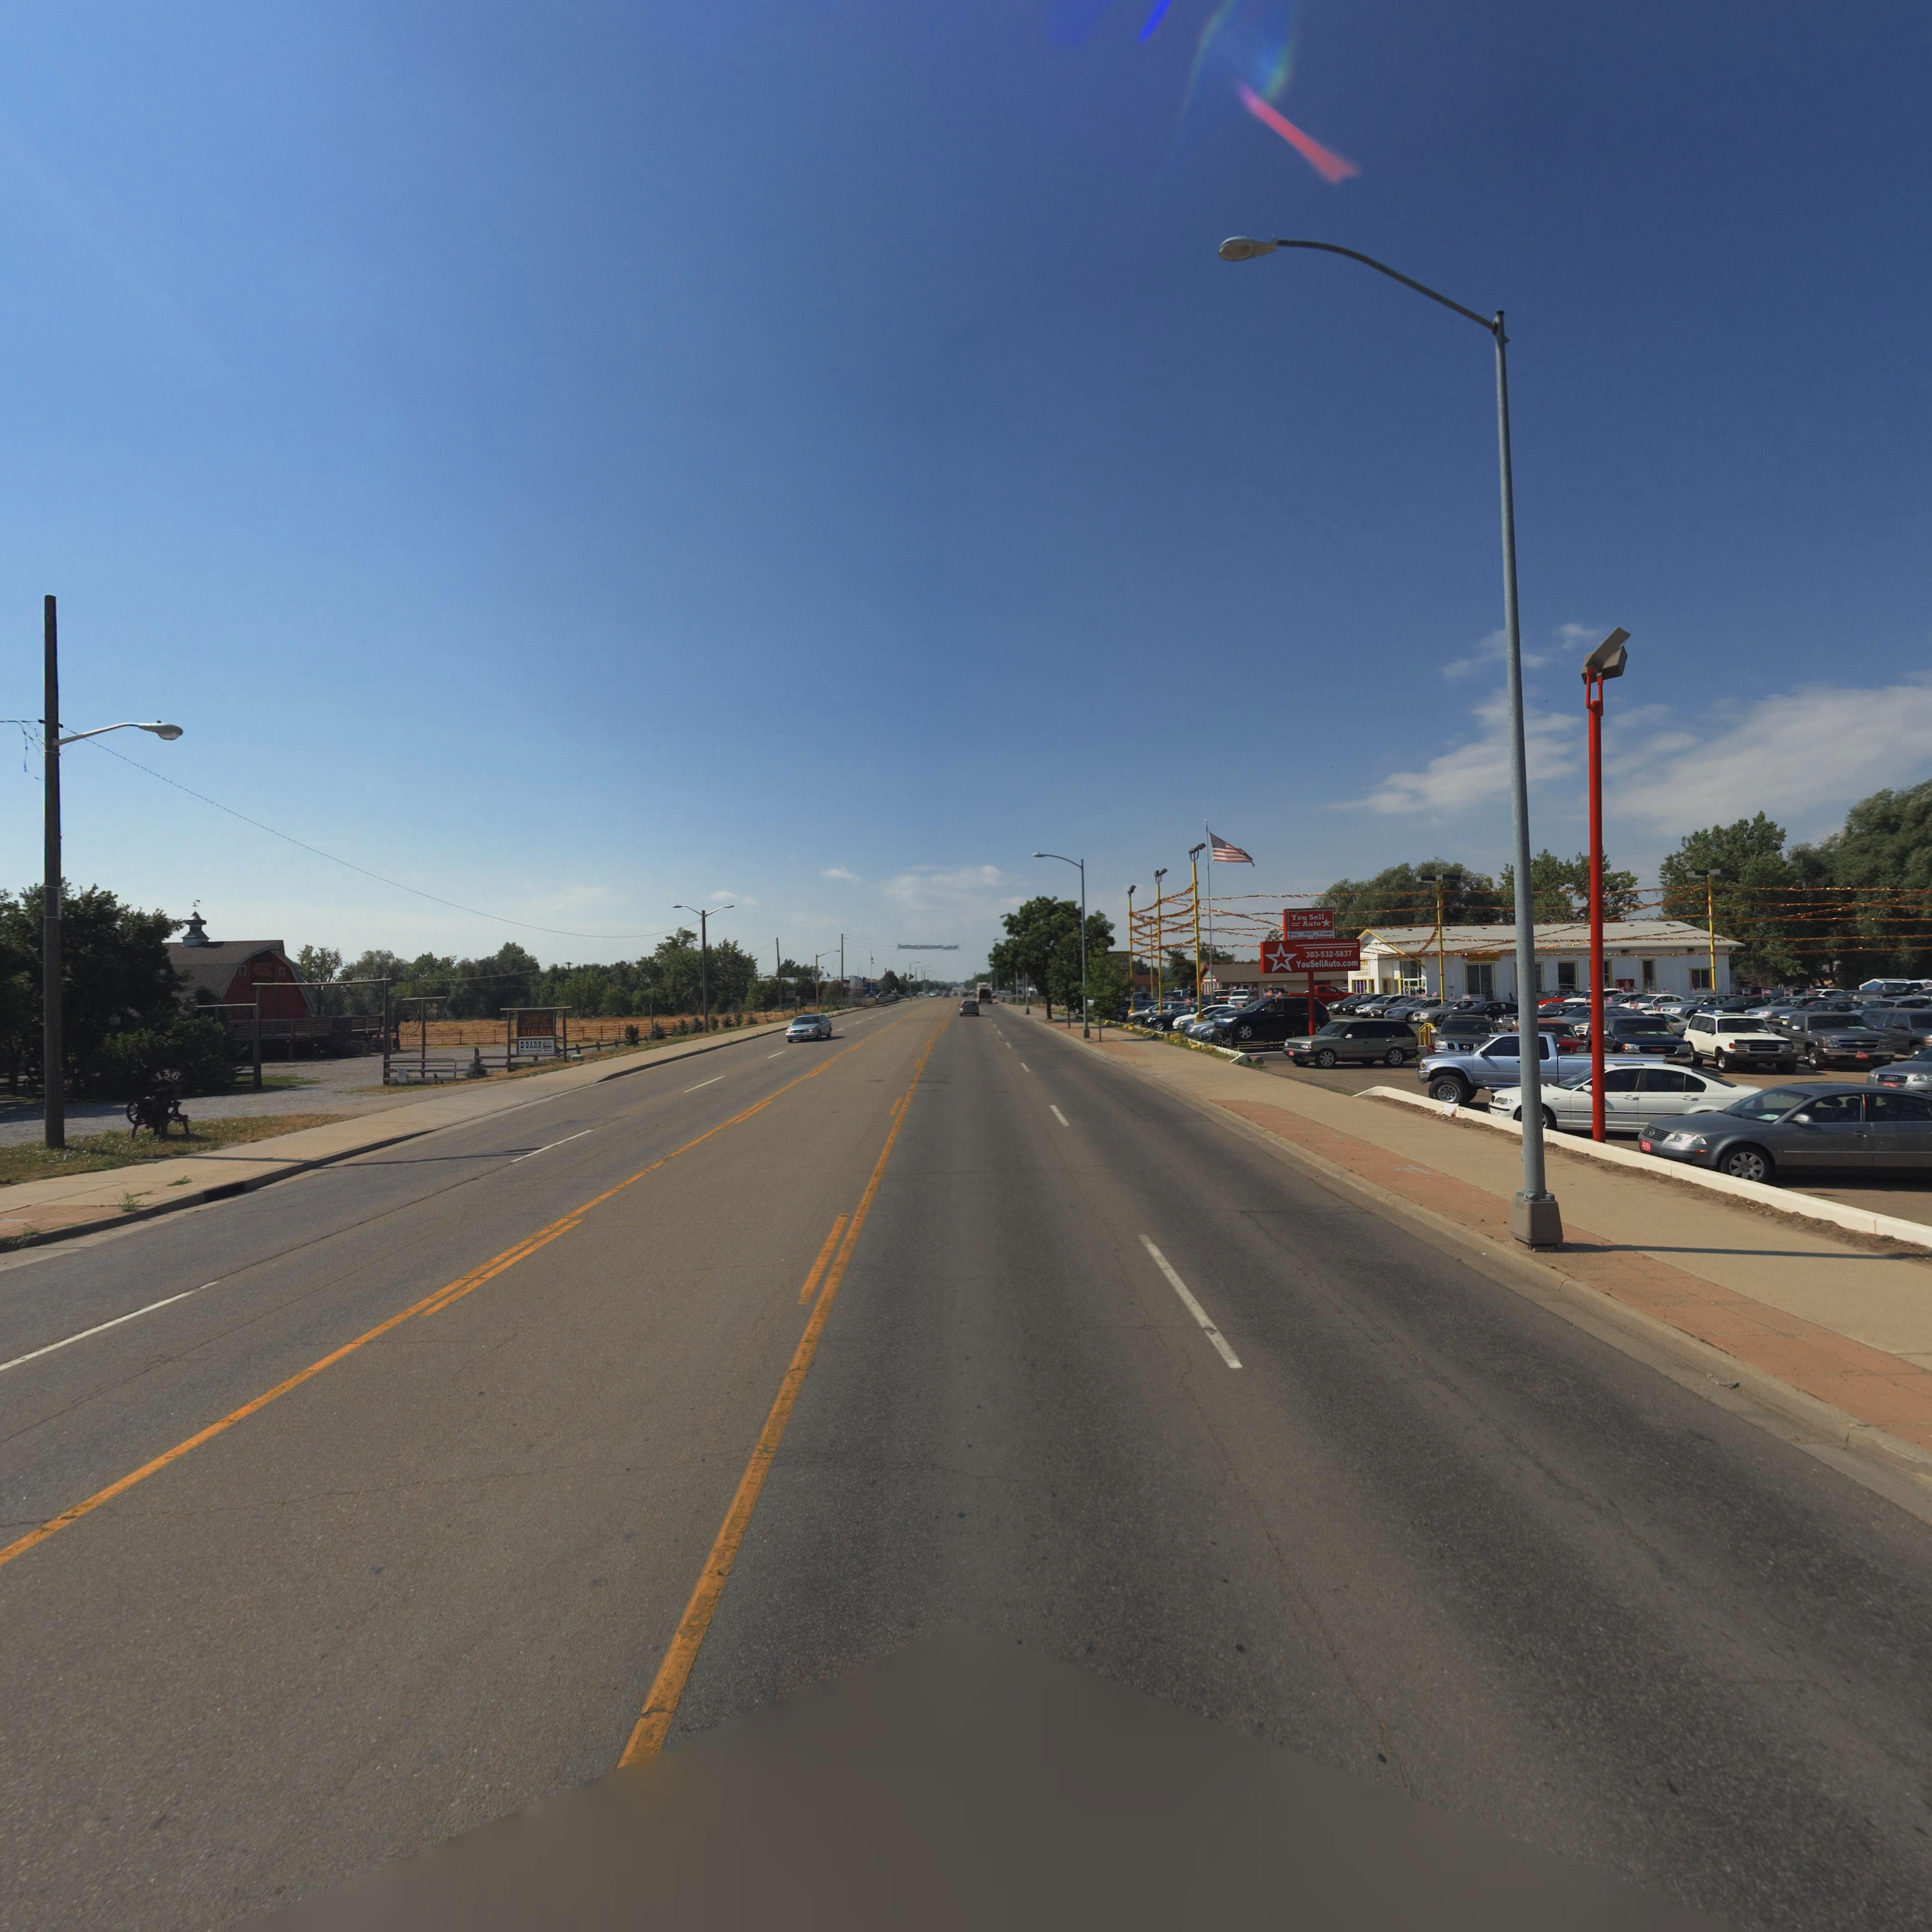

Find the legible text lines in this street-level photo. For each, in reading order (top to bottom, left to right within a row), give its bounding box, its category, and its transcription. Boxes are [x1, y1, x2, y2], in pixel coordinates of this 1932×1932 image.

[1291, 913, 1324, 920] BusinessName: You Sell
[1302, 920, 1321, 926] BusinessName: Auto
[520, 1041, 541, 1048] BusinessName: D*BARN
[156, 1069, 181, 1081] StreetNumber: 136